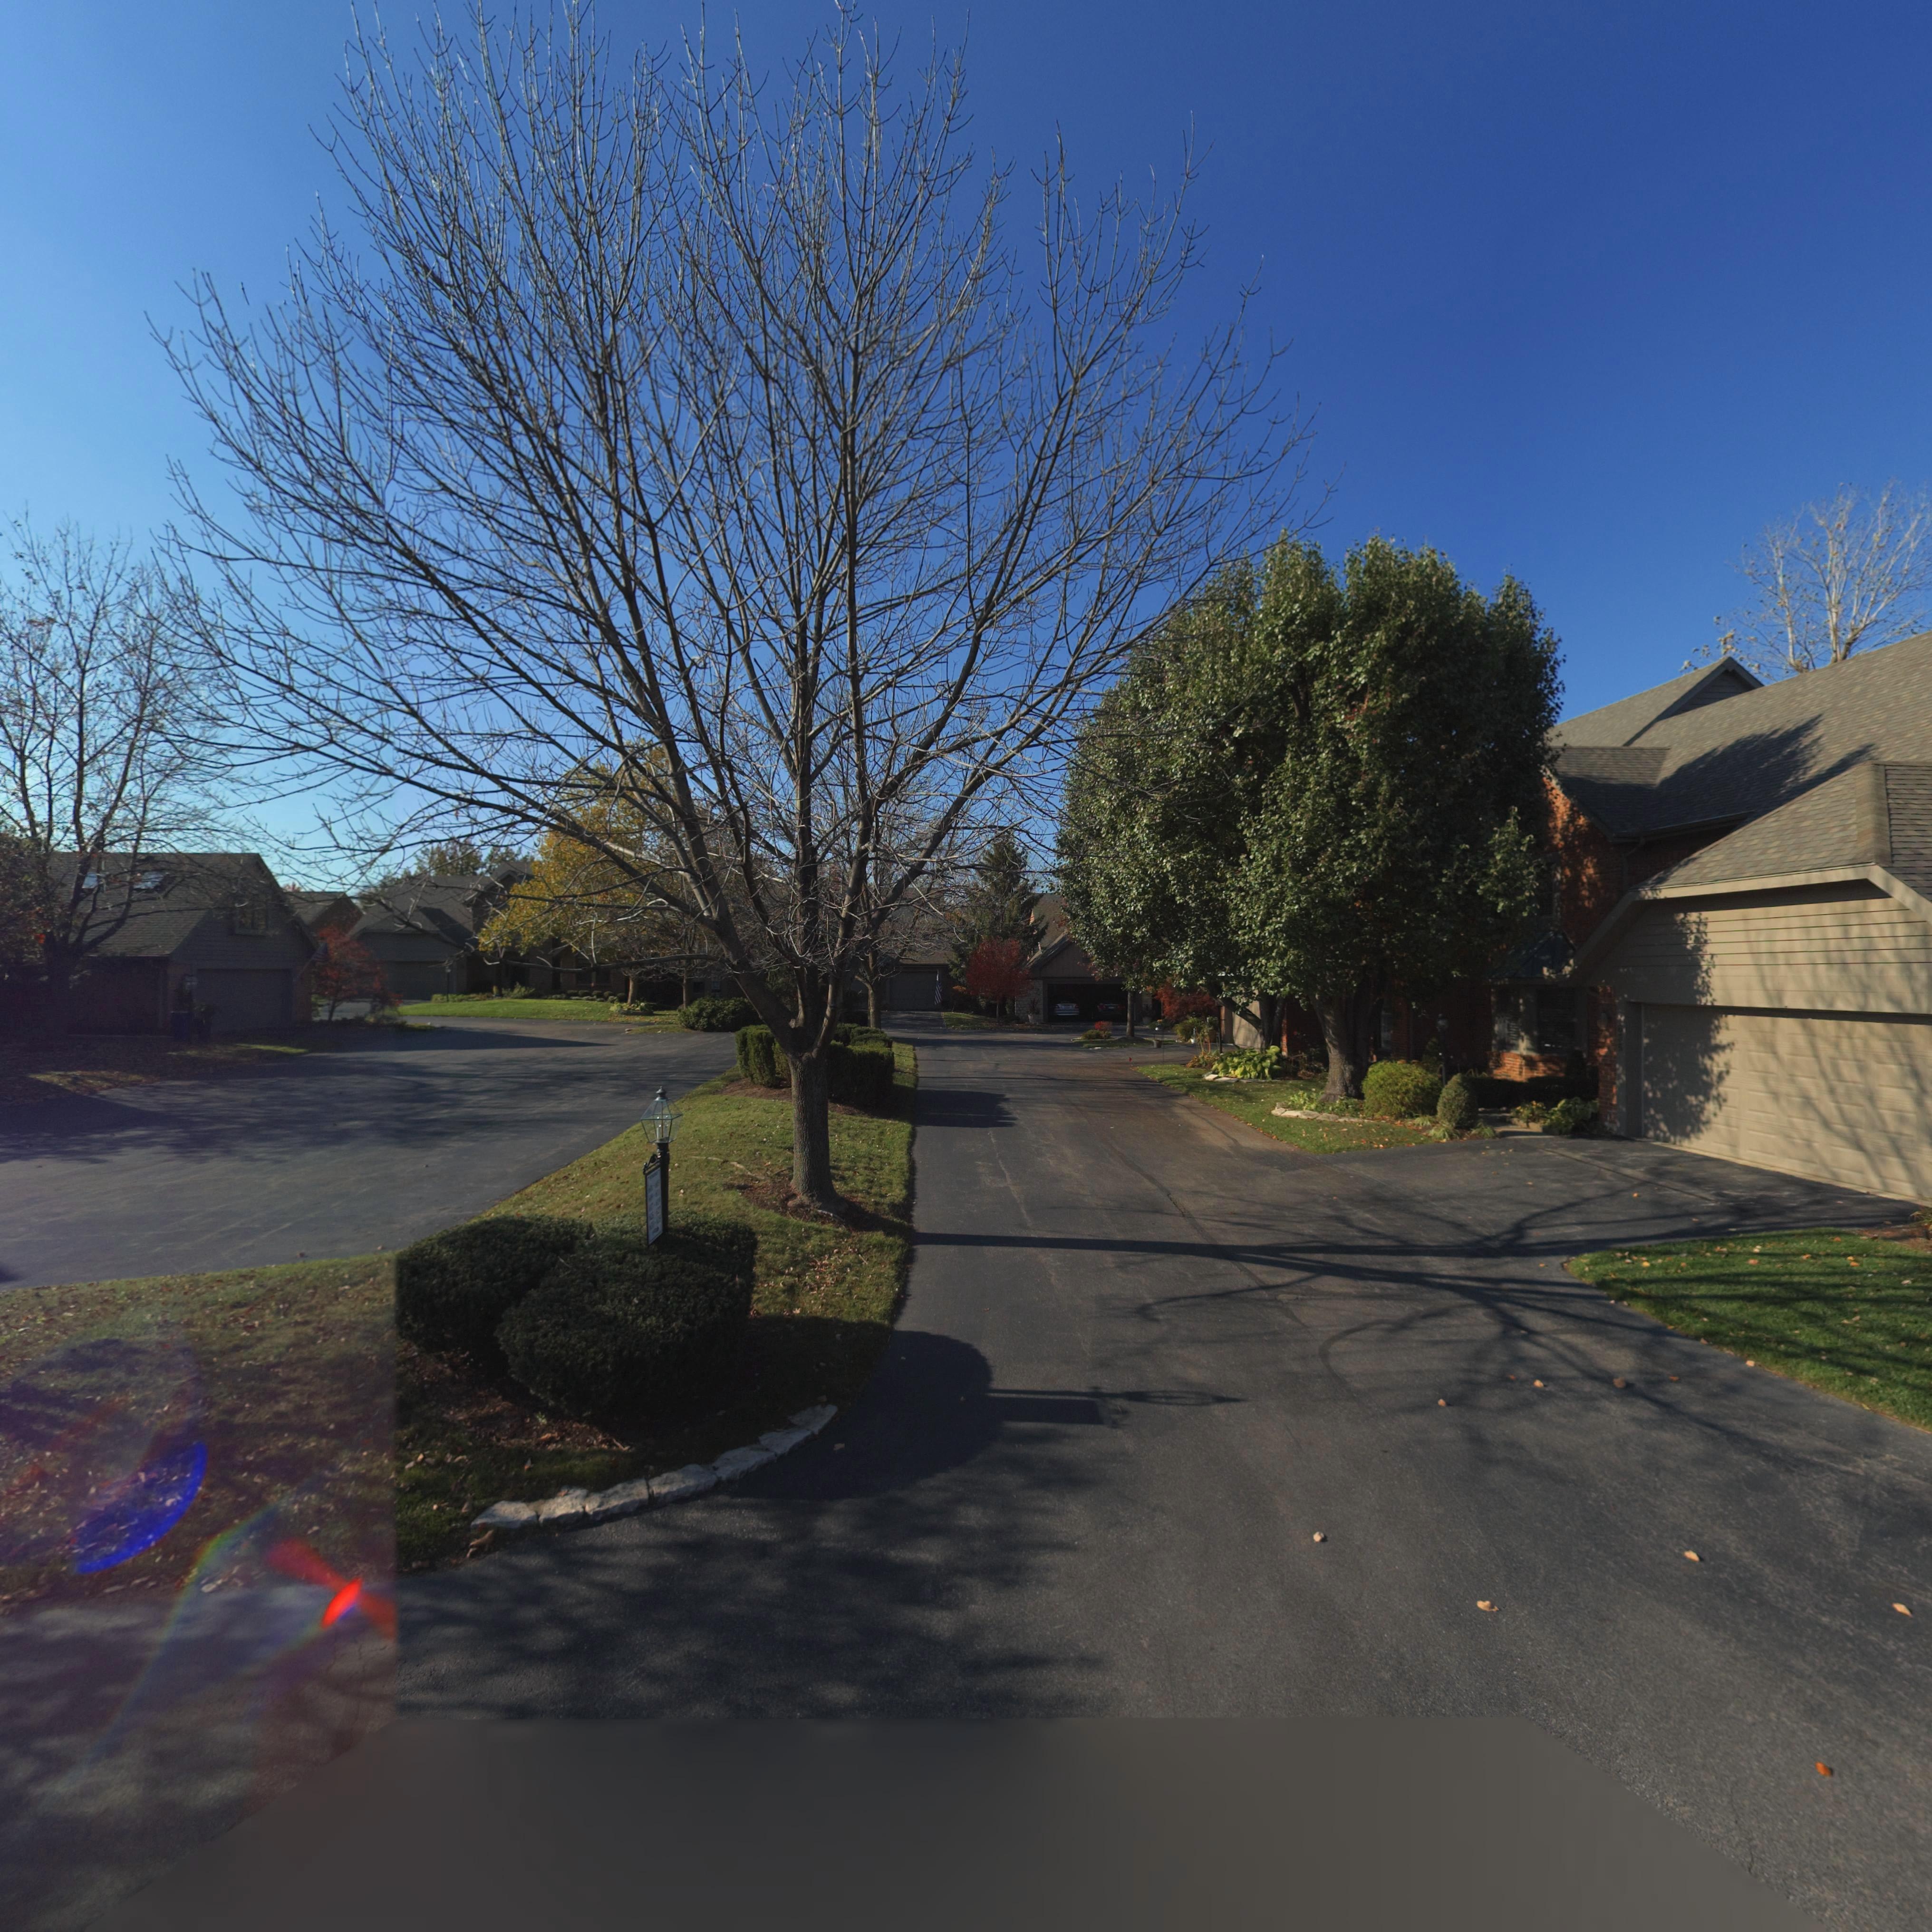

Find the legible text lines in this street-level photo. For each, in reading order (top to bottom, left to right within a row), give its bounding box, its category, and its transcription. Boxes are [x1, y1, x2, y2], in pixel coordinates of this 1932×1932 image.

[1617, 1024, 1623, 1053] StreetNumber: 635